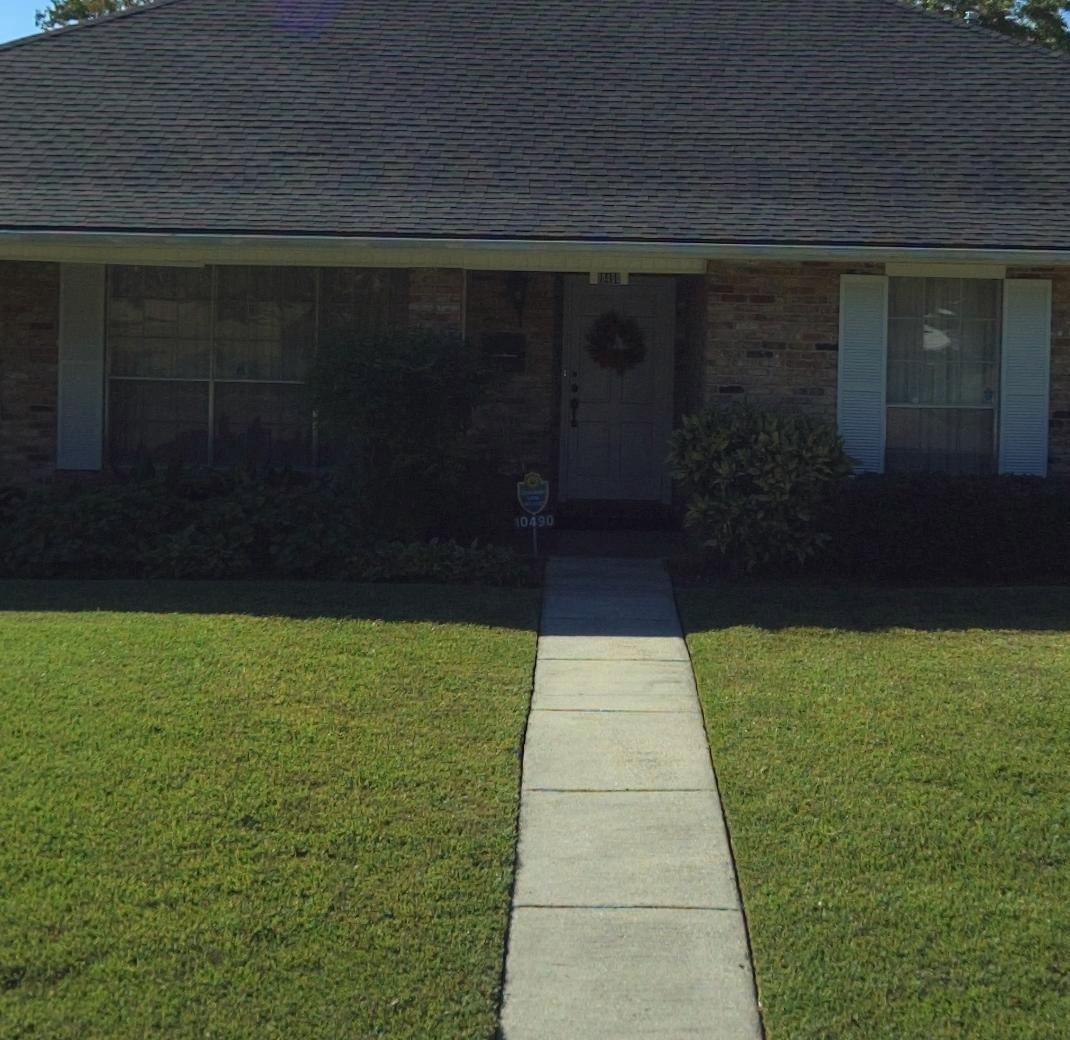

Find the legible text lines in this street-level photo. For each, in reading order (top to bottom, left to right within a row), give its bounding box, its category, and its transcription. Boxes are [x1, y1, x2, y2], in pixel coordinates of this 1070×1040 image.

[597, 271, 622, 286] StreetNumber: *04*0
[512, 513, 556, 530] StreetNumber: 10490